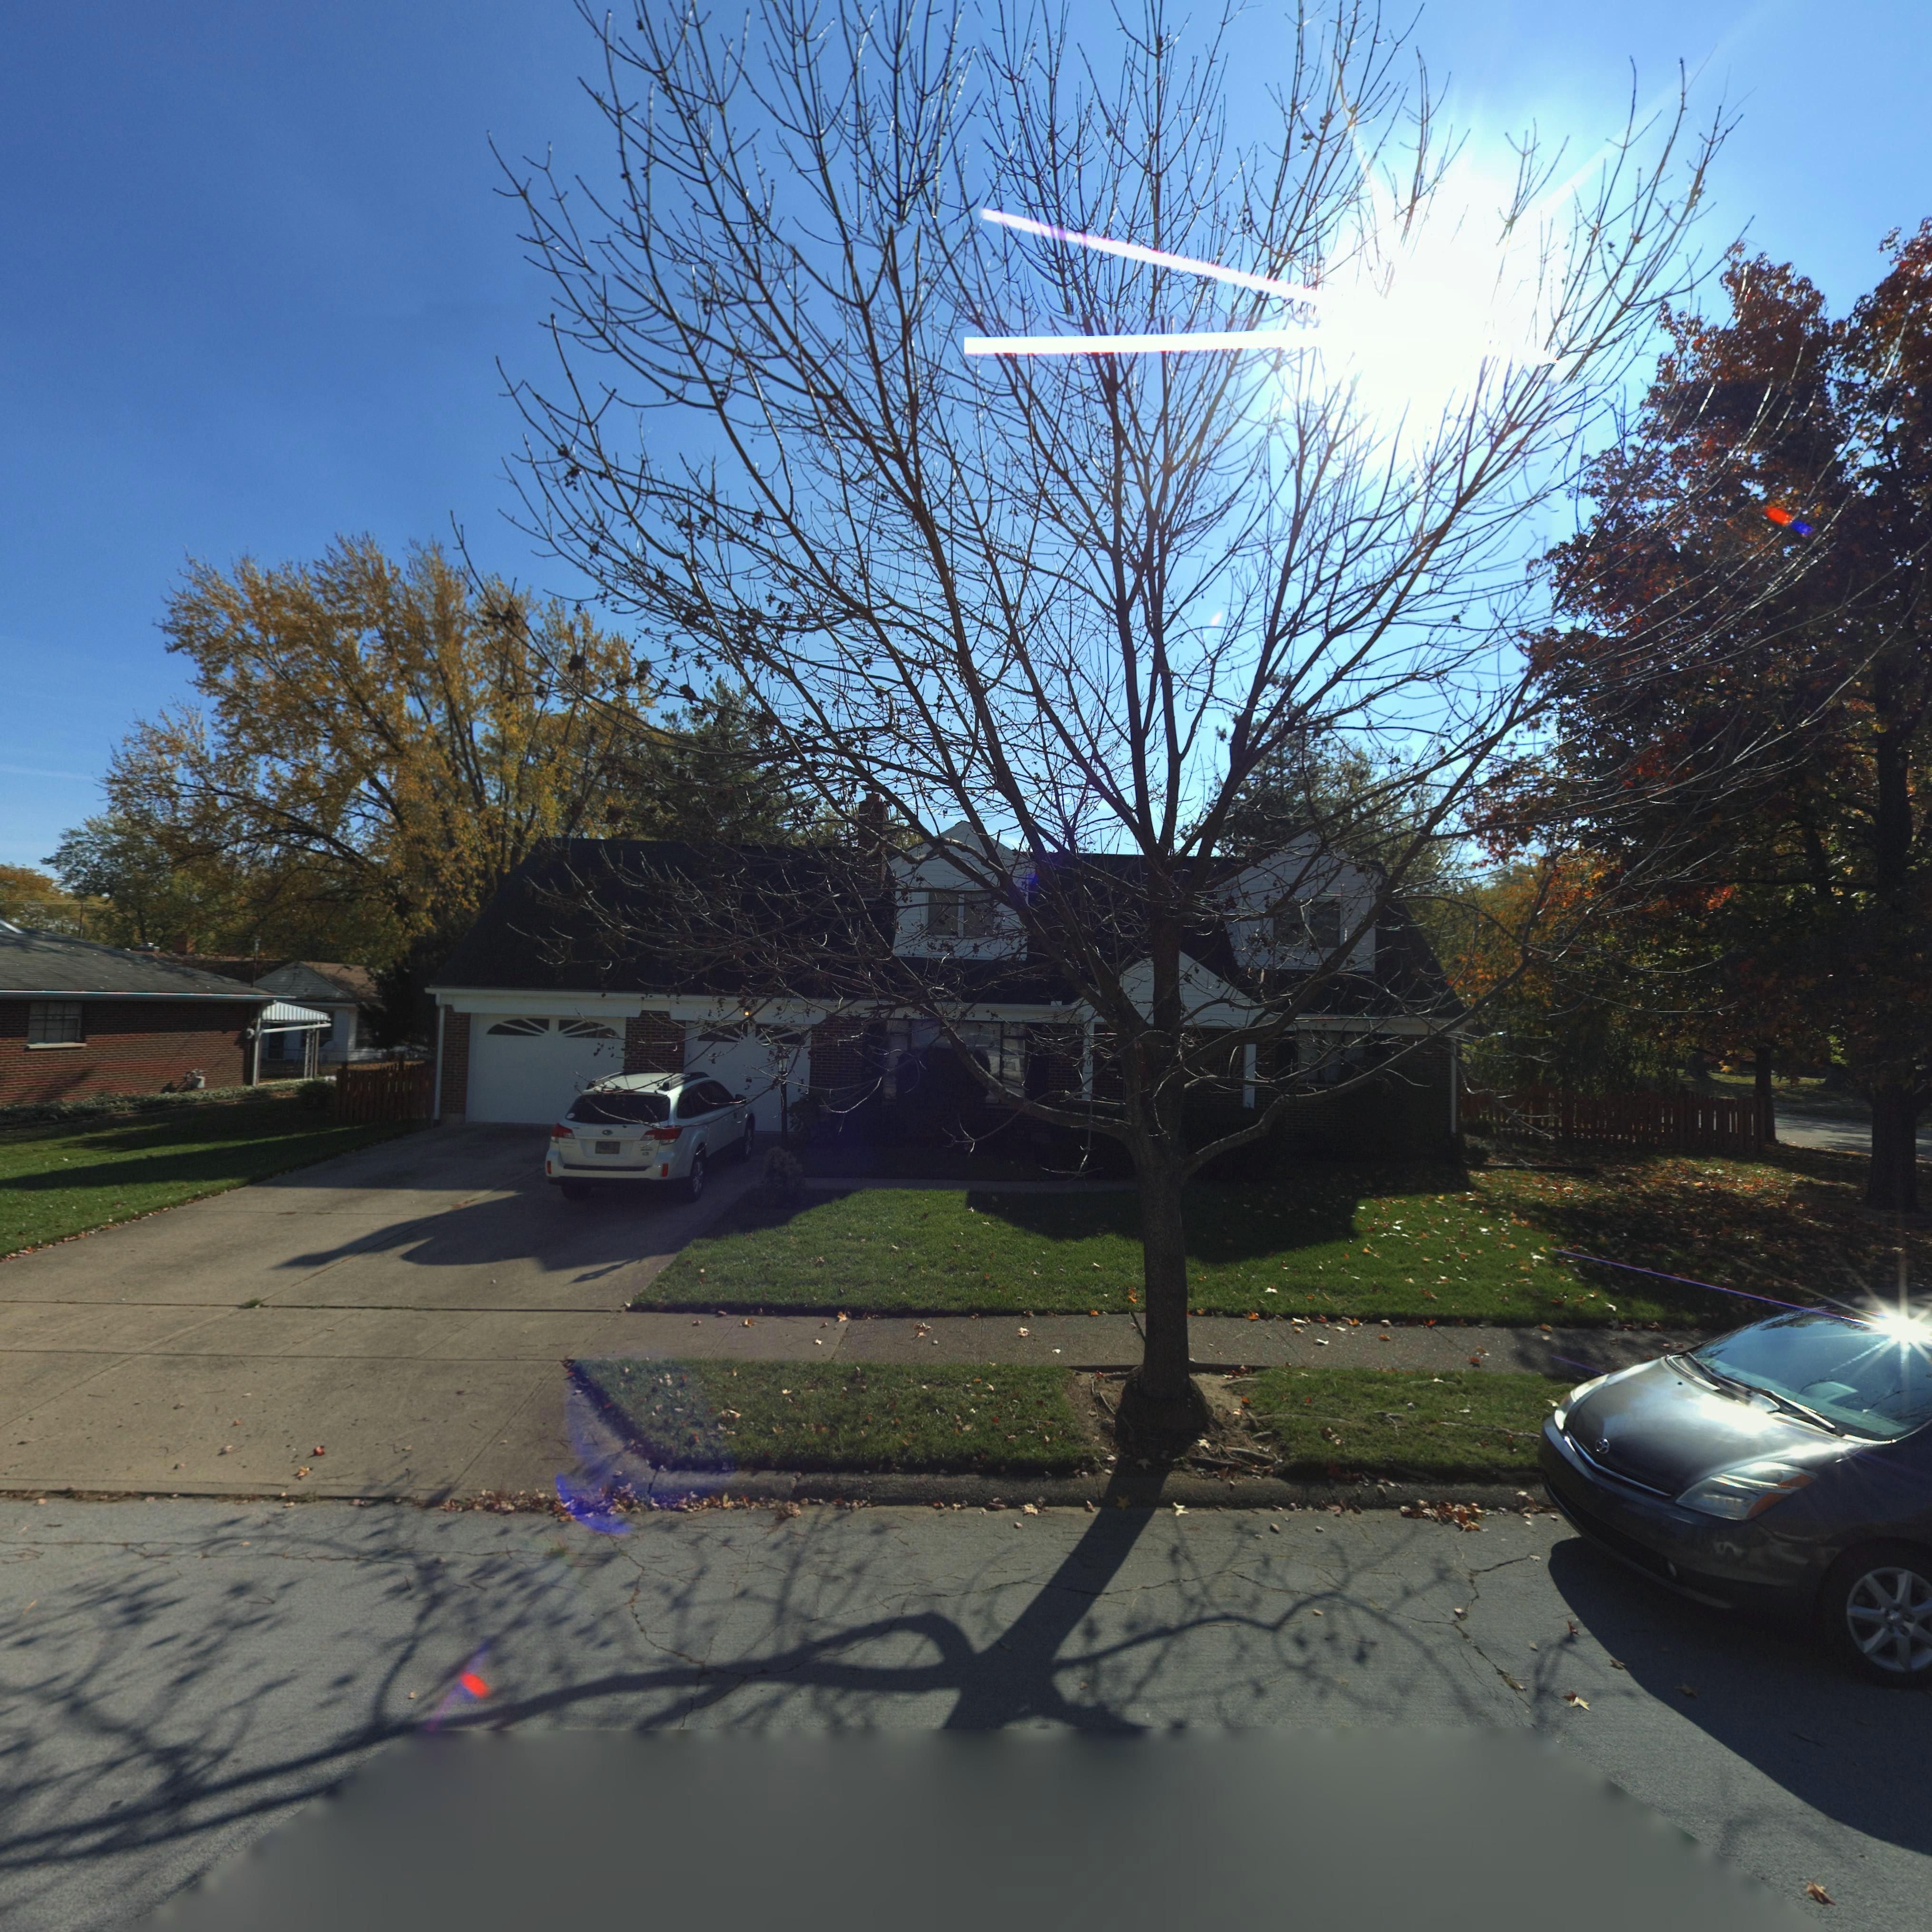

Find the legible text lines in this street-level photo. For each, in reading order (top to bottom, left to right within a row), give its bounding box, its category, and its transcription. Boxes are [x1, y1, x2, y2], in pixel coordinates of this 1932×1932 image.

[1085, 1059, 1092, 1067] StreetNumber: 0